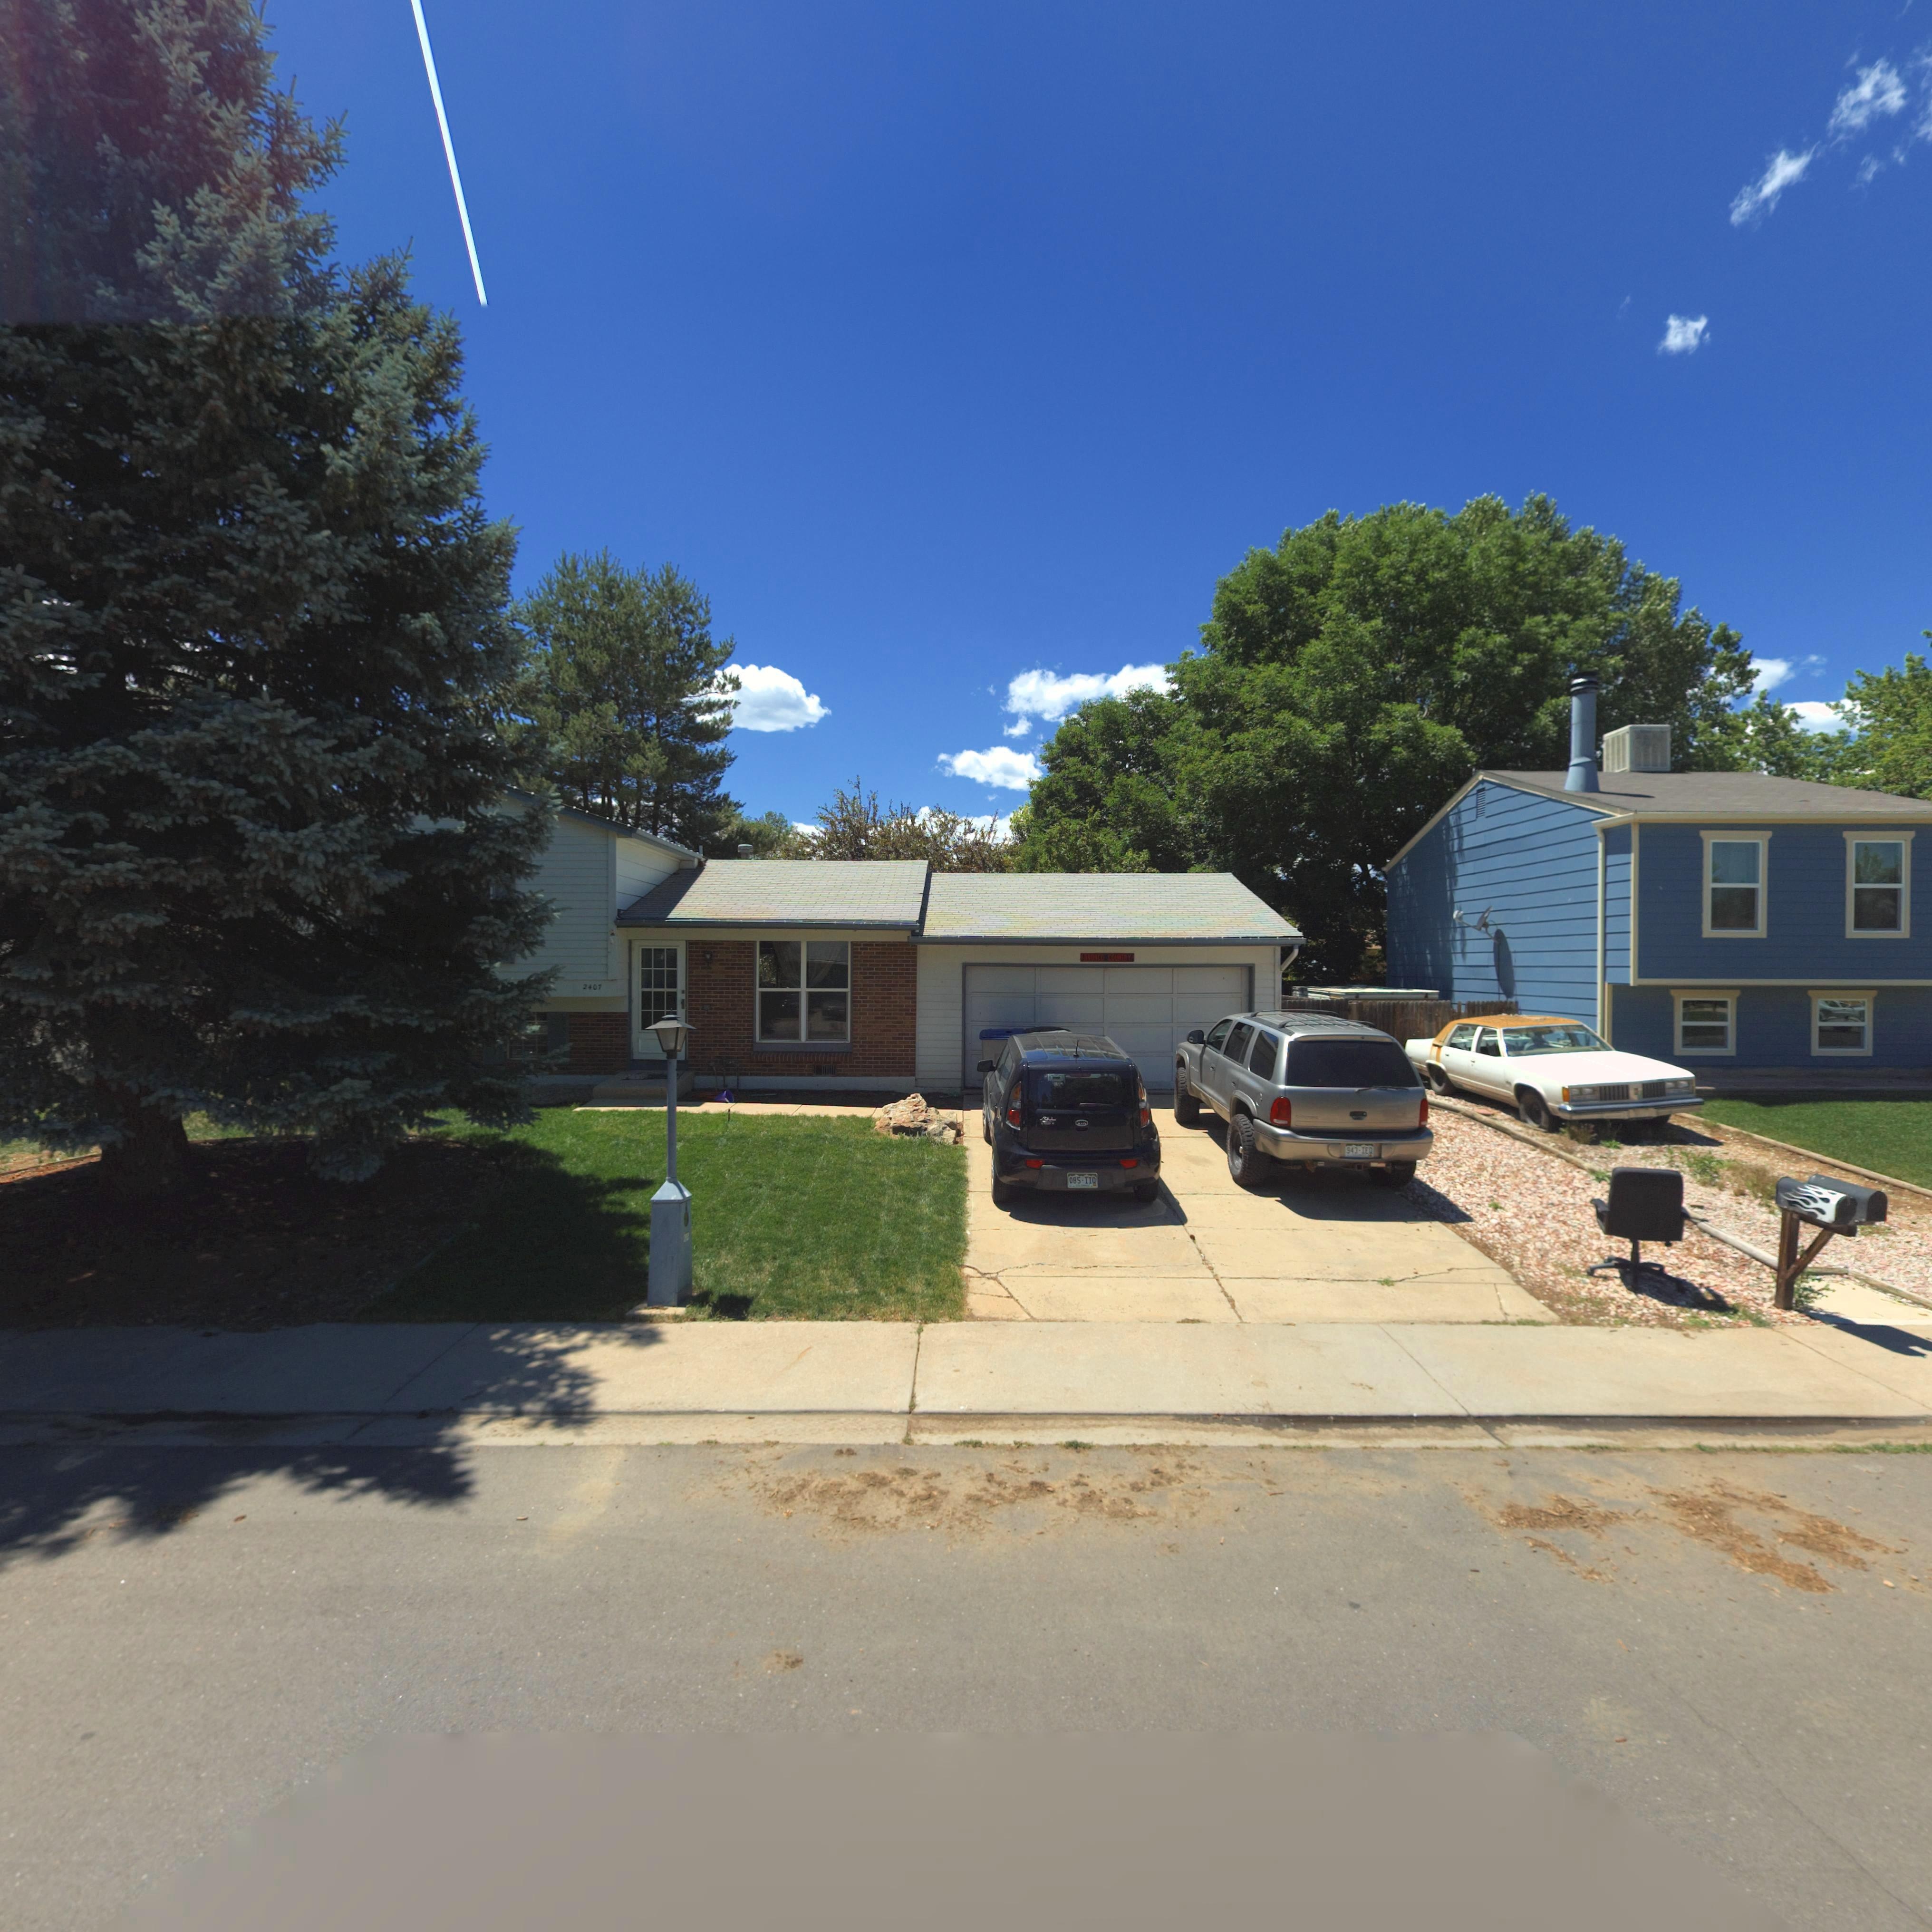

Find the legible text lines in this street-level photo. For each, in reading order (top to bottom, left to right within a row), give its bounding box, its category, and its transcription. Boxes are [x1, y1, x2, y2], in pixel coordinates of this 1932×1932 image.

[581, 984, 602, 990] StreetNumber: 2407